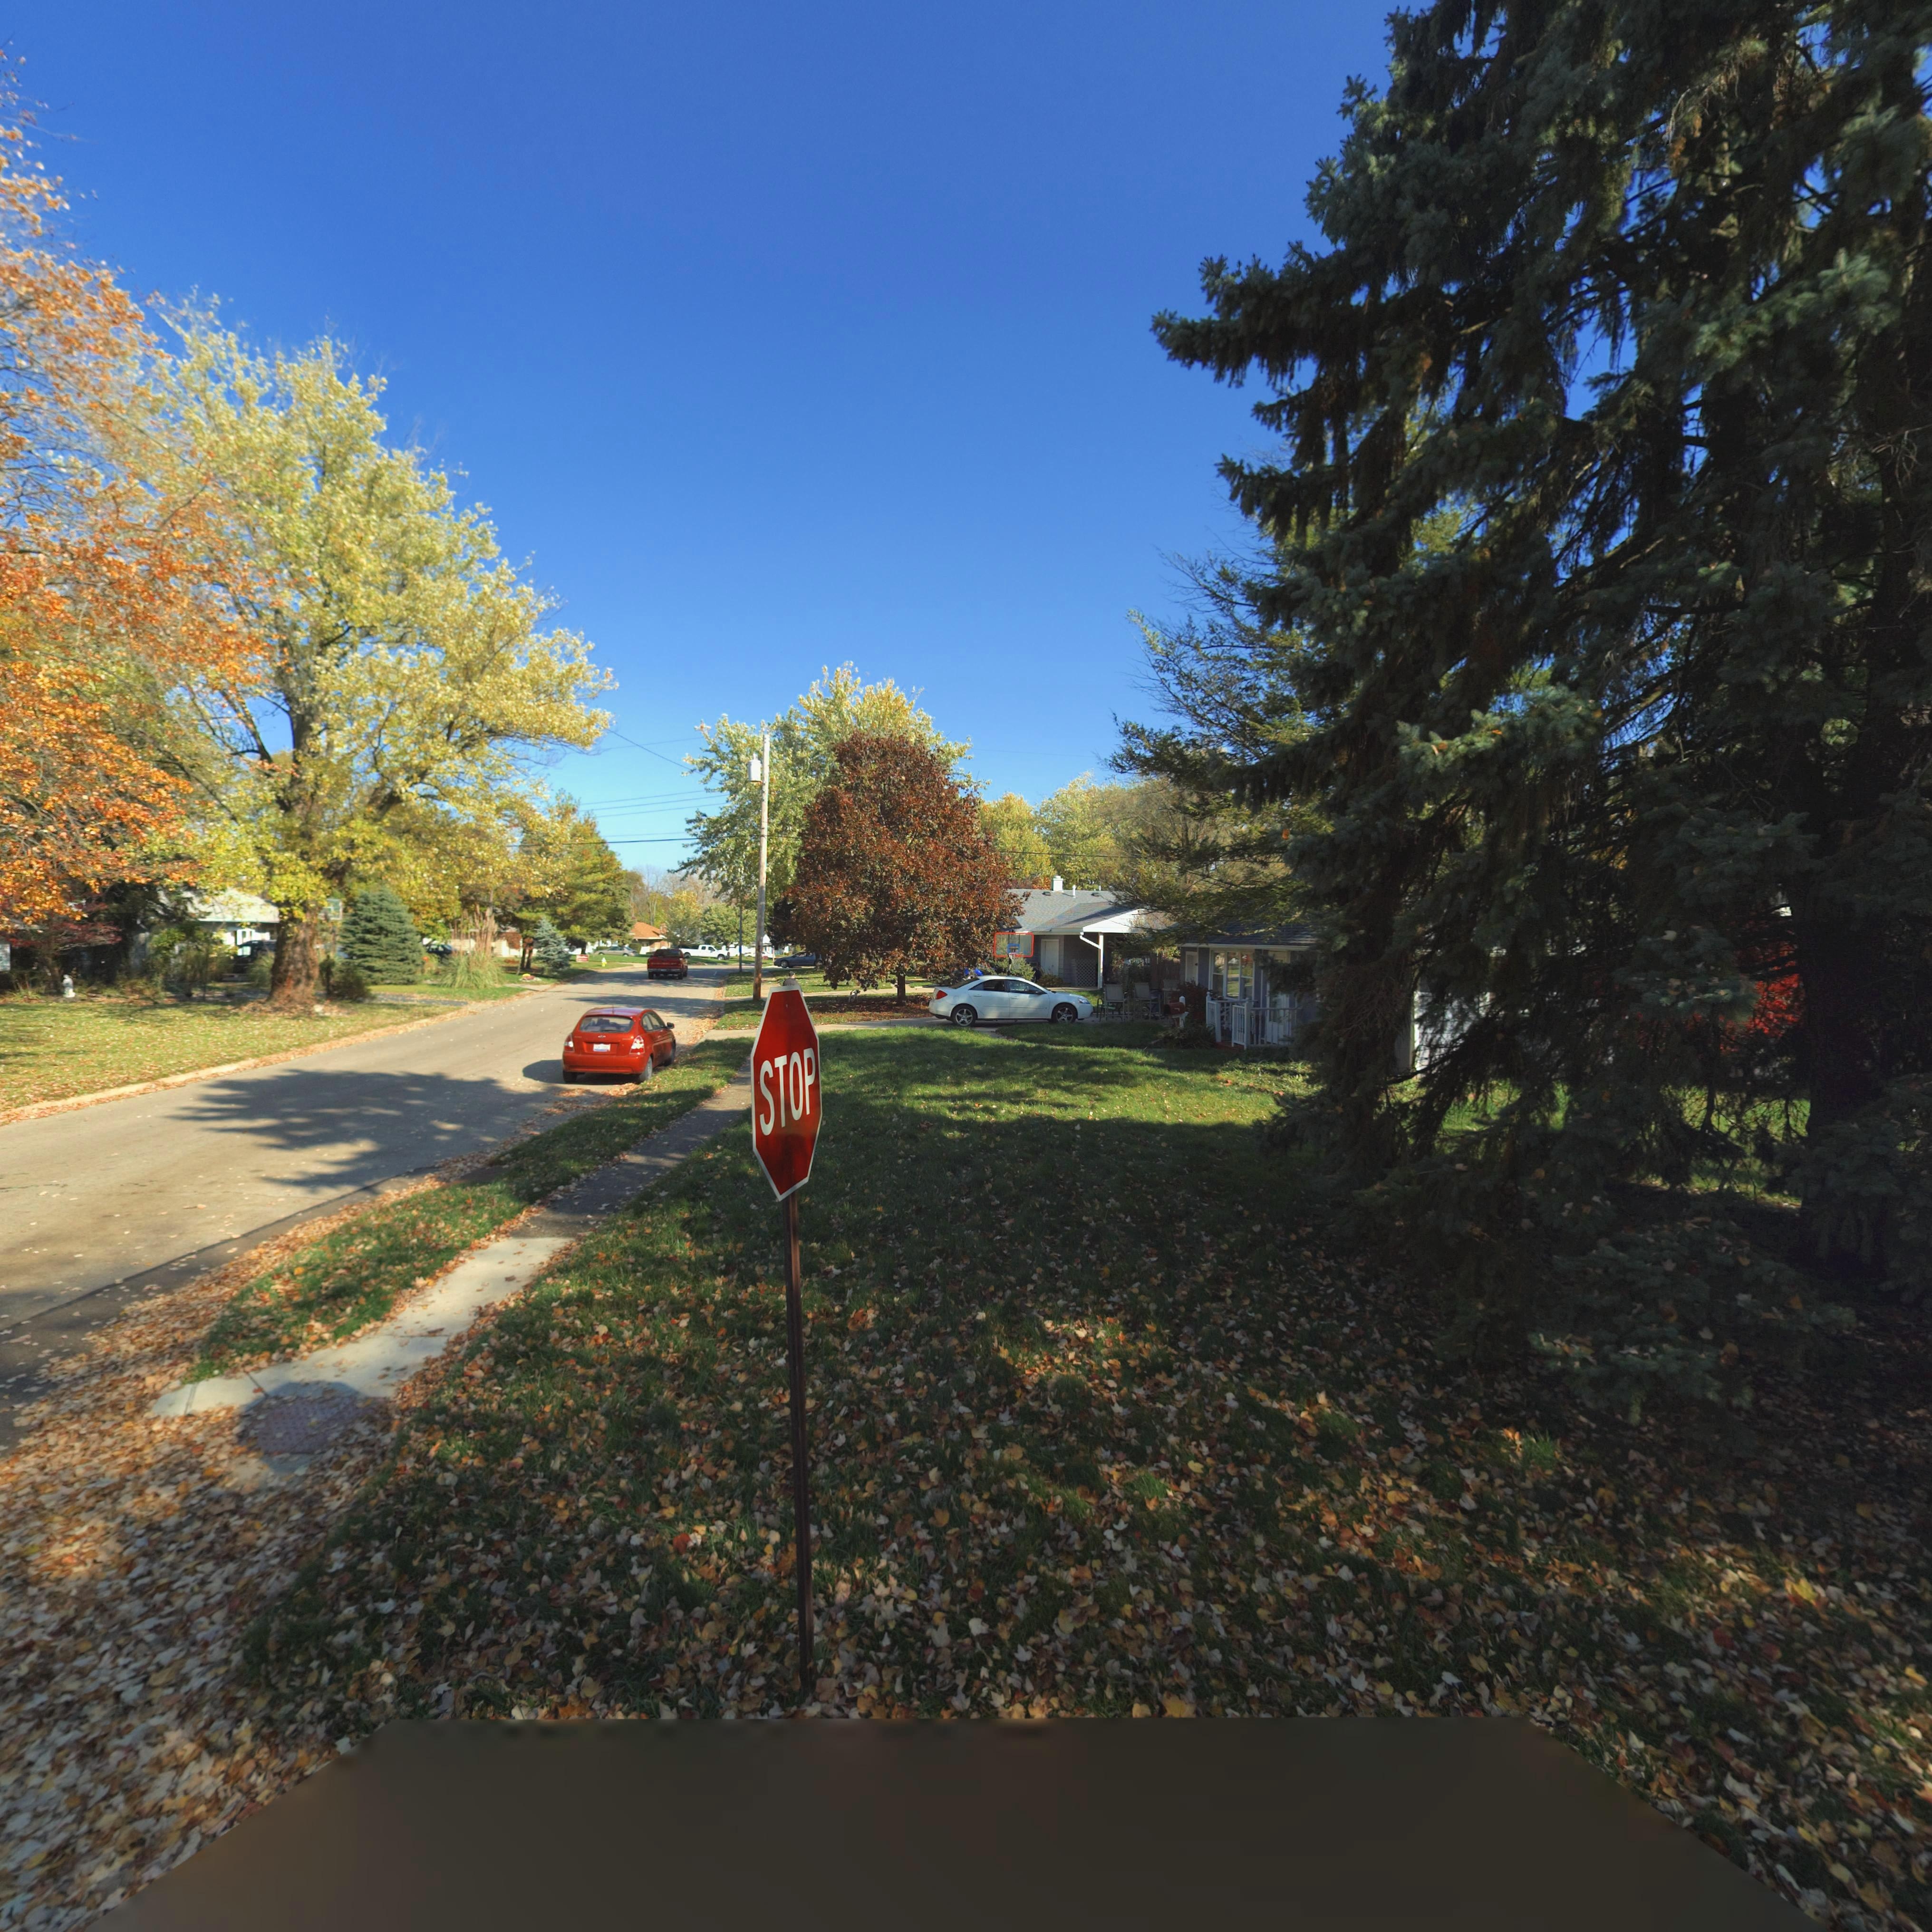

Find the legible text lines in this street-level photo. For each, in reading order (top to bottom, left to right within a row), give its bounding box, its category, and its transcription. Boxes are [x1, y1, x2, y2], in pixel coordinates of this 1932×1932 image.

[757, 1044, 817, 1140] None: STOP